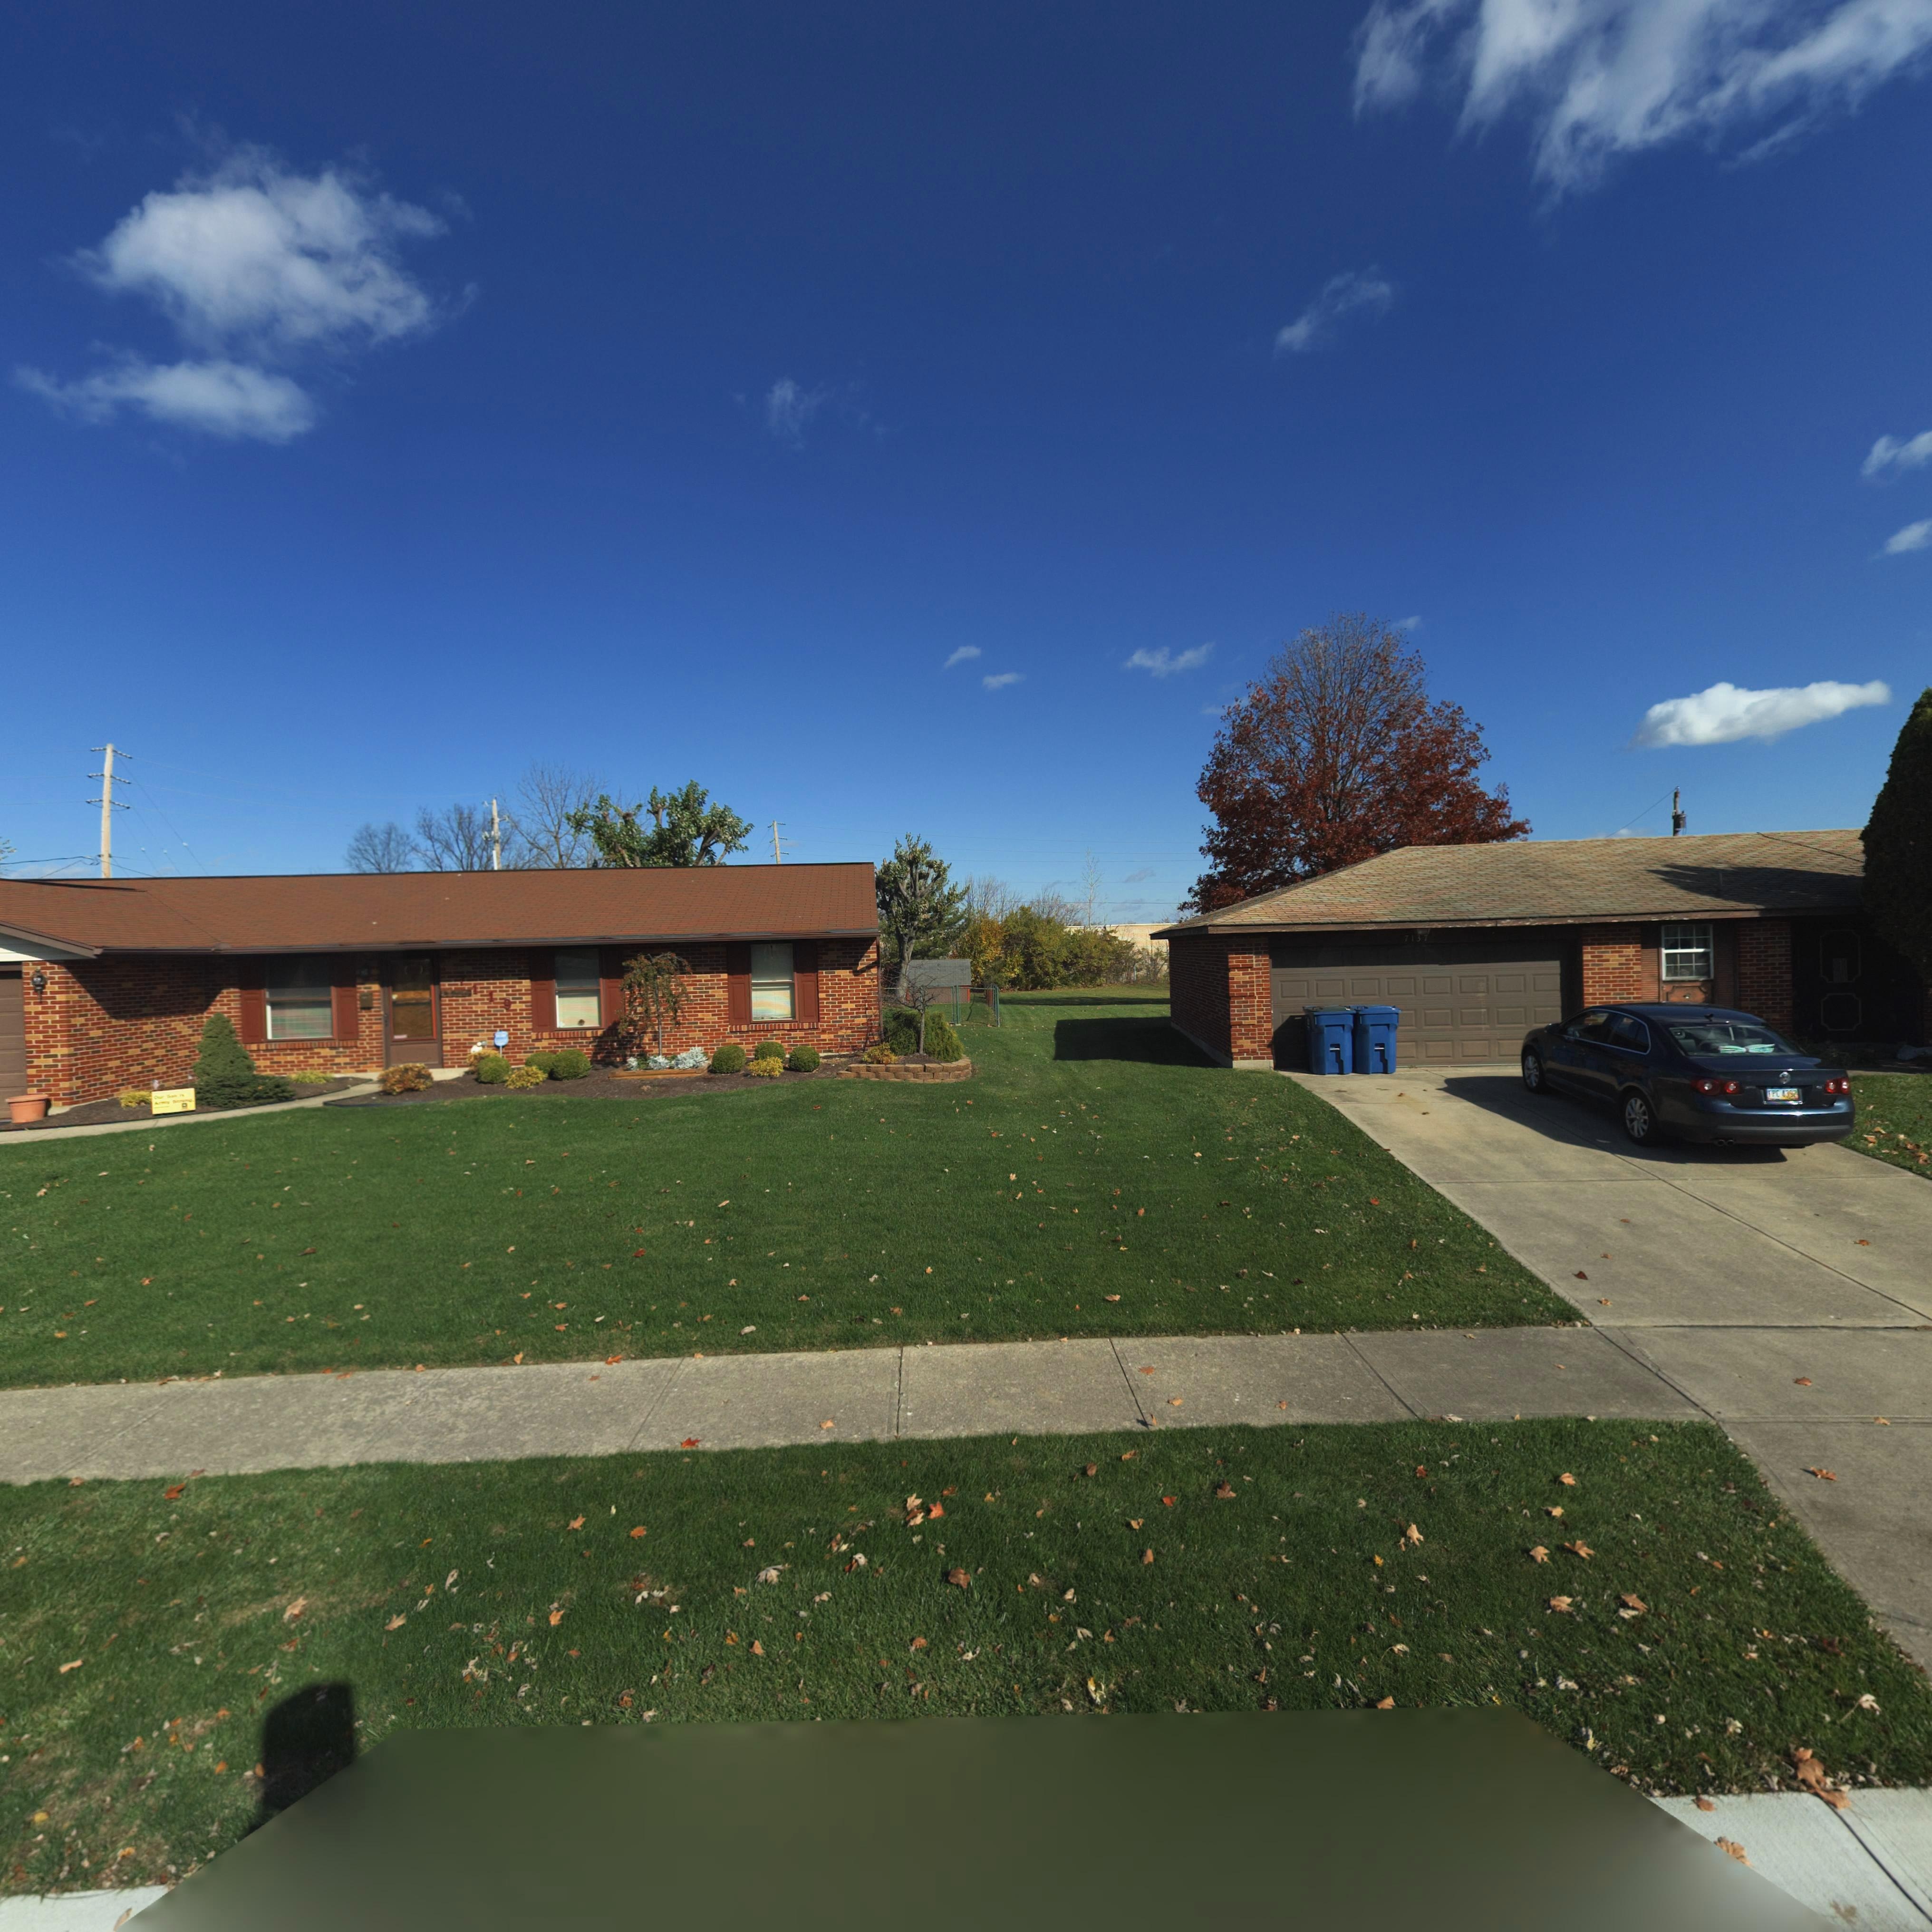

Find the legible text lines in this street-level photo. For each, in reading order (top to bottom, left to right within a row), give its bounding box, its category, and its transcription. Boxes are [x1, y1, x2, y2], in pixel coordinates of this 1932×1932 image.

[1403, 934, 1430, 943] StreetNumber: 7137
[454, 973, 513, 1012] StreetNumber: 7119